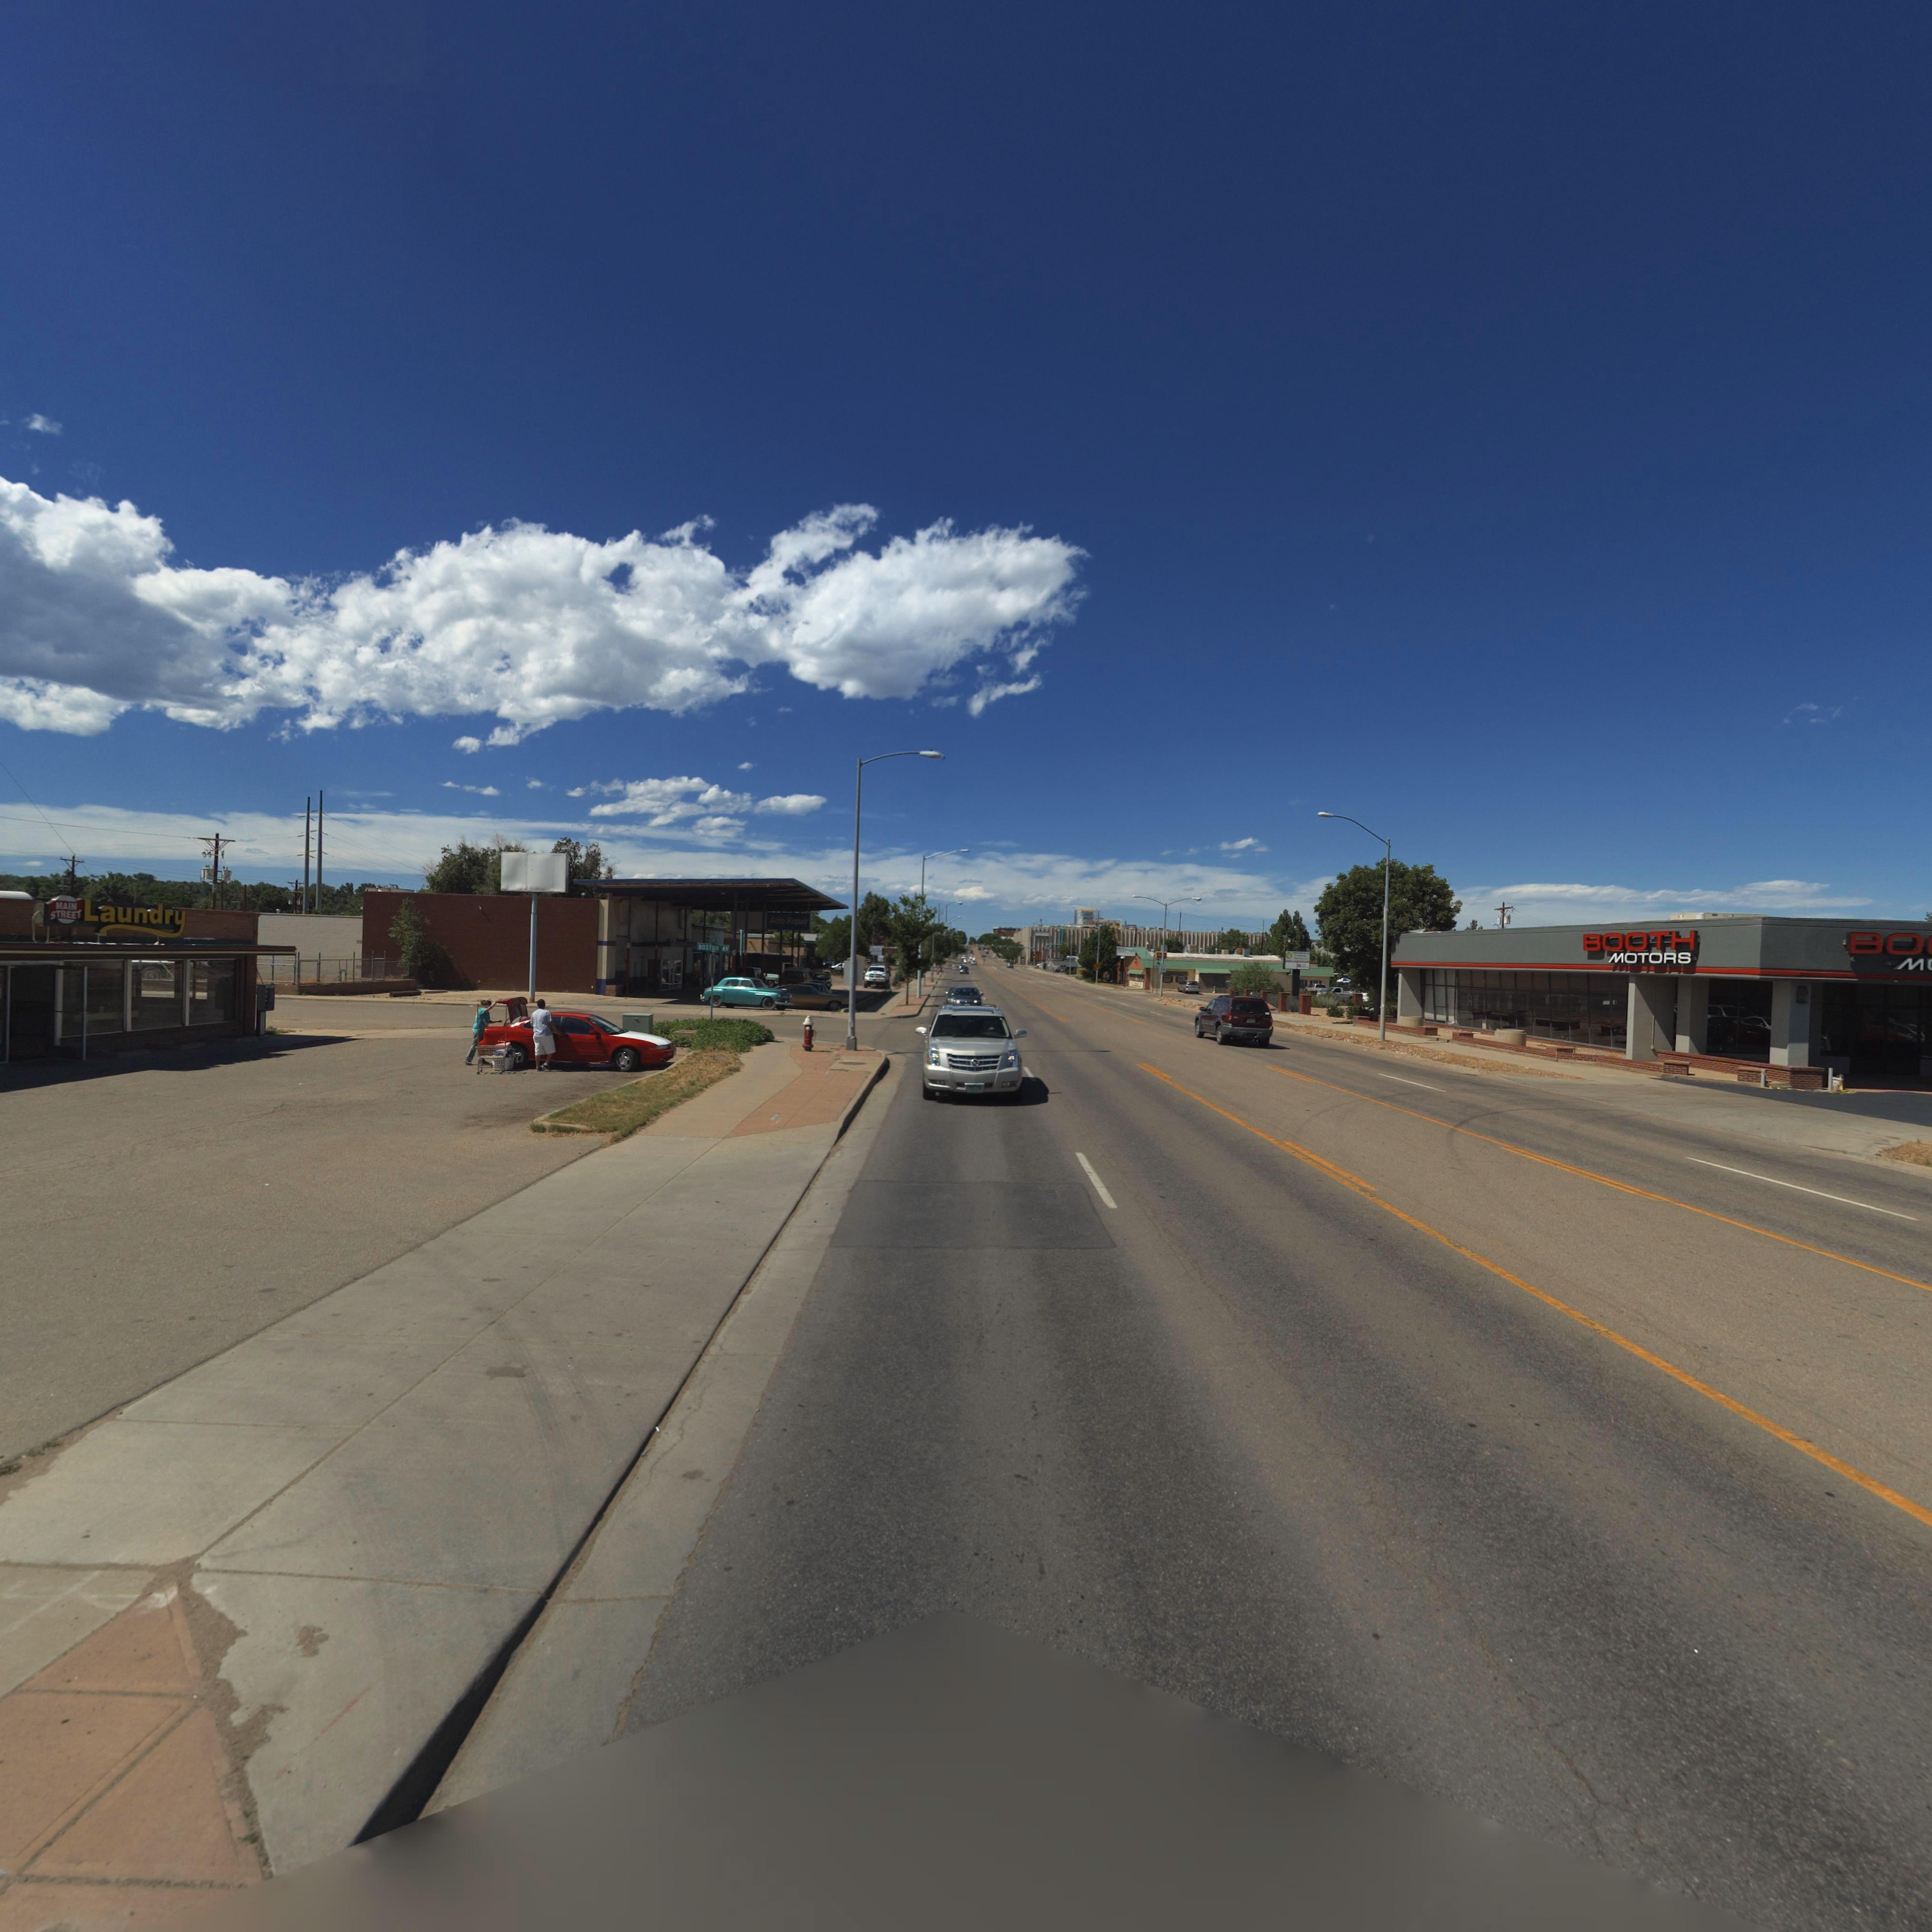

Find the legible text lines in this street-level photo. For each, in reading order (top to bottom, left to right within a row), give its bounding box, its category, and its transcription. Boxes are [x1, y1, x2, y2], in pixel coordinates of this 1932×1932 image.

[55, 901, 77, 910] BusinessName: MAIN
[49, 908, 82, 920] BusinessName: STREET
[84, 899, 186, 937] BusinessName: Laundry
[698, 944, 729, 951] StreetName: BOSTON AV
[1582, 929, 1696, 952] BusinessName: BOOTH
[1847, 930, 1924, 956] BusinessName: BO
[1606, 952, 1691, 964] BusinessName: MOTORS
[1894, 957, 1924, 971] BusinessName: M